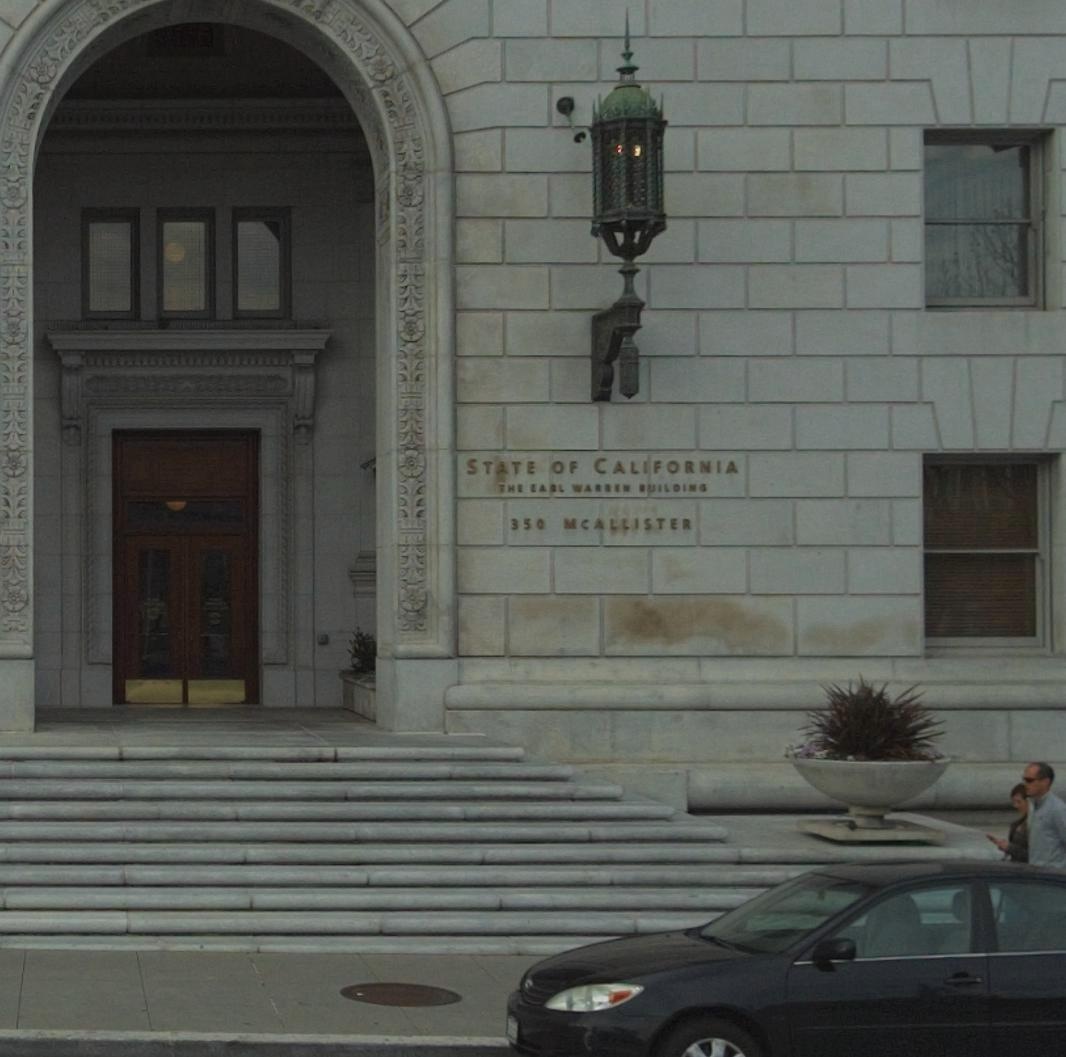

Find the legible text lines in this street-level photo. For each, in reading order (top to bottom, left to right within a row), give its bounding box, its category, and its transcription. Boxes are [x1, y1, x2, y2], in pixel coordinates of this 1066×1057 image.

[466, 456, 739, 475] None: STATE OF CALIFORNIA
[496, 482, 707, 493] None: THE CARL WARREN BUILDING
[509, 517, 547, 532] StreetNumber: 350
[561, 516, 693, 531] StreetName: MCALLISTER